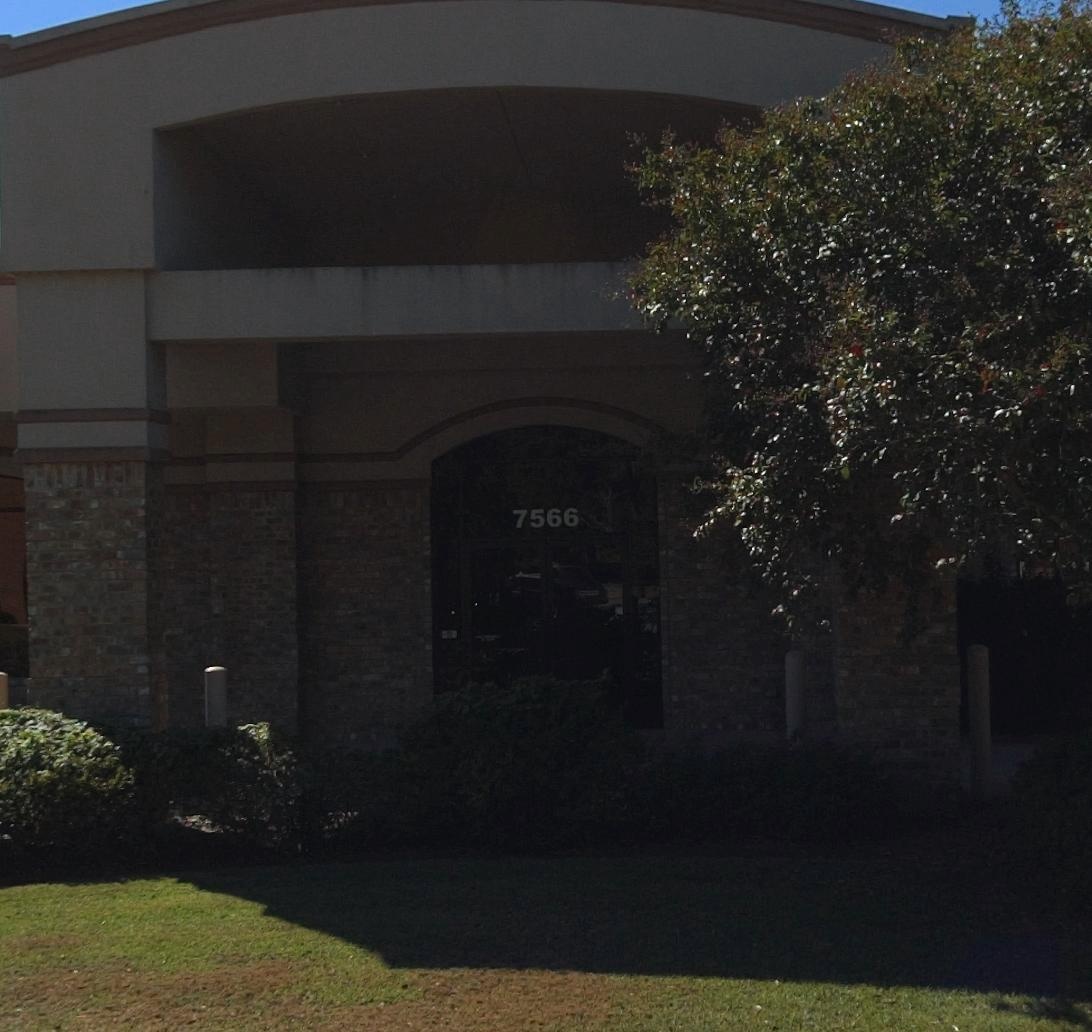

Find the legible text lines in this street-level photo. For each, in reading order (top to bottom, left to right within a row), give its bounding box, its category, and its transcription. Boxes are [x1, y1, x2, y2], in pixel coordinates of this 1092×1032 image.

[509, 505, 582, 531] StreetNumber: 7566